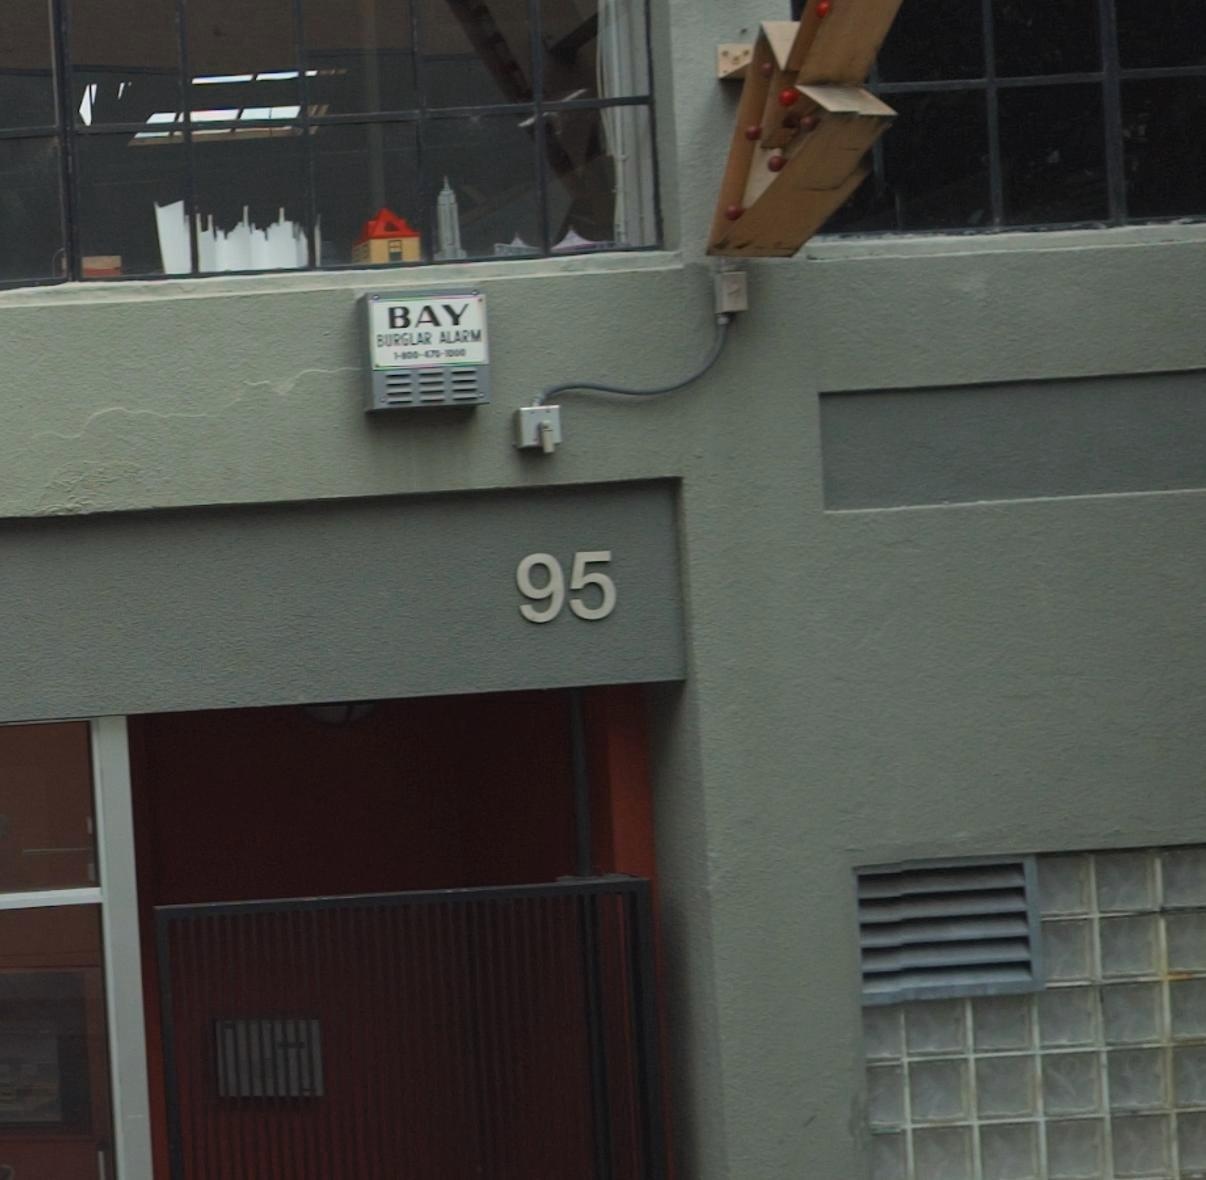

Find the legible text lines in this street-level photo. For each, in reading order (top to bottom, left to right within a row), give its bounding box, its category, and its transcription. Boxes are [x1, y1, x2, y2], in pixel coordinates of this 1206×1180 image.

[385, 300, 473, 332] None: BAY
[373, 326, 486, 350] None: BURGLAR ALARM
[513, 546, 622, 628] StreetNumber: 95